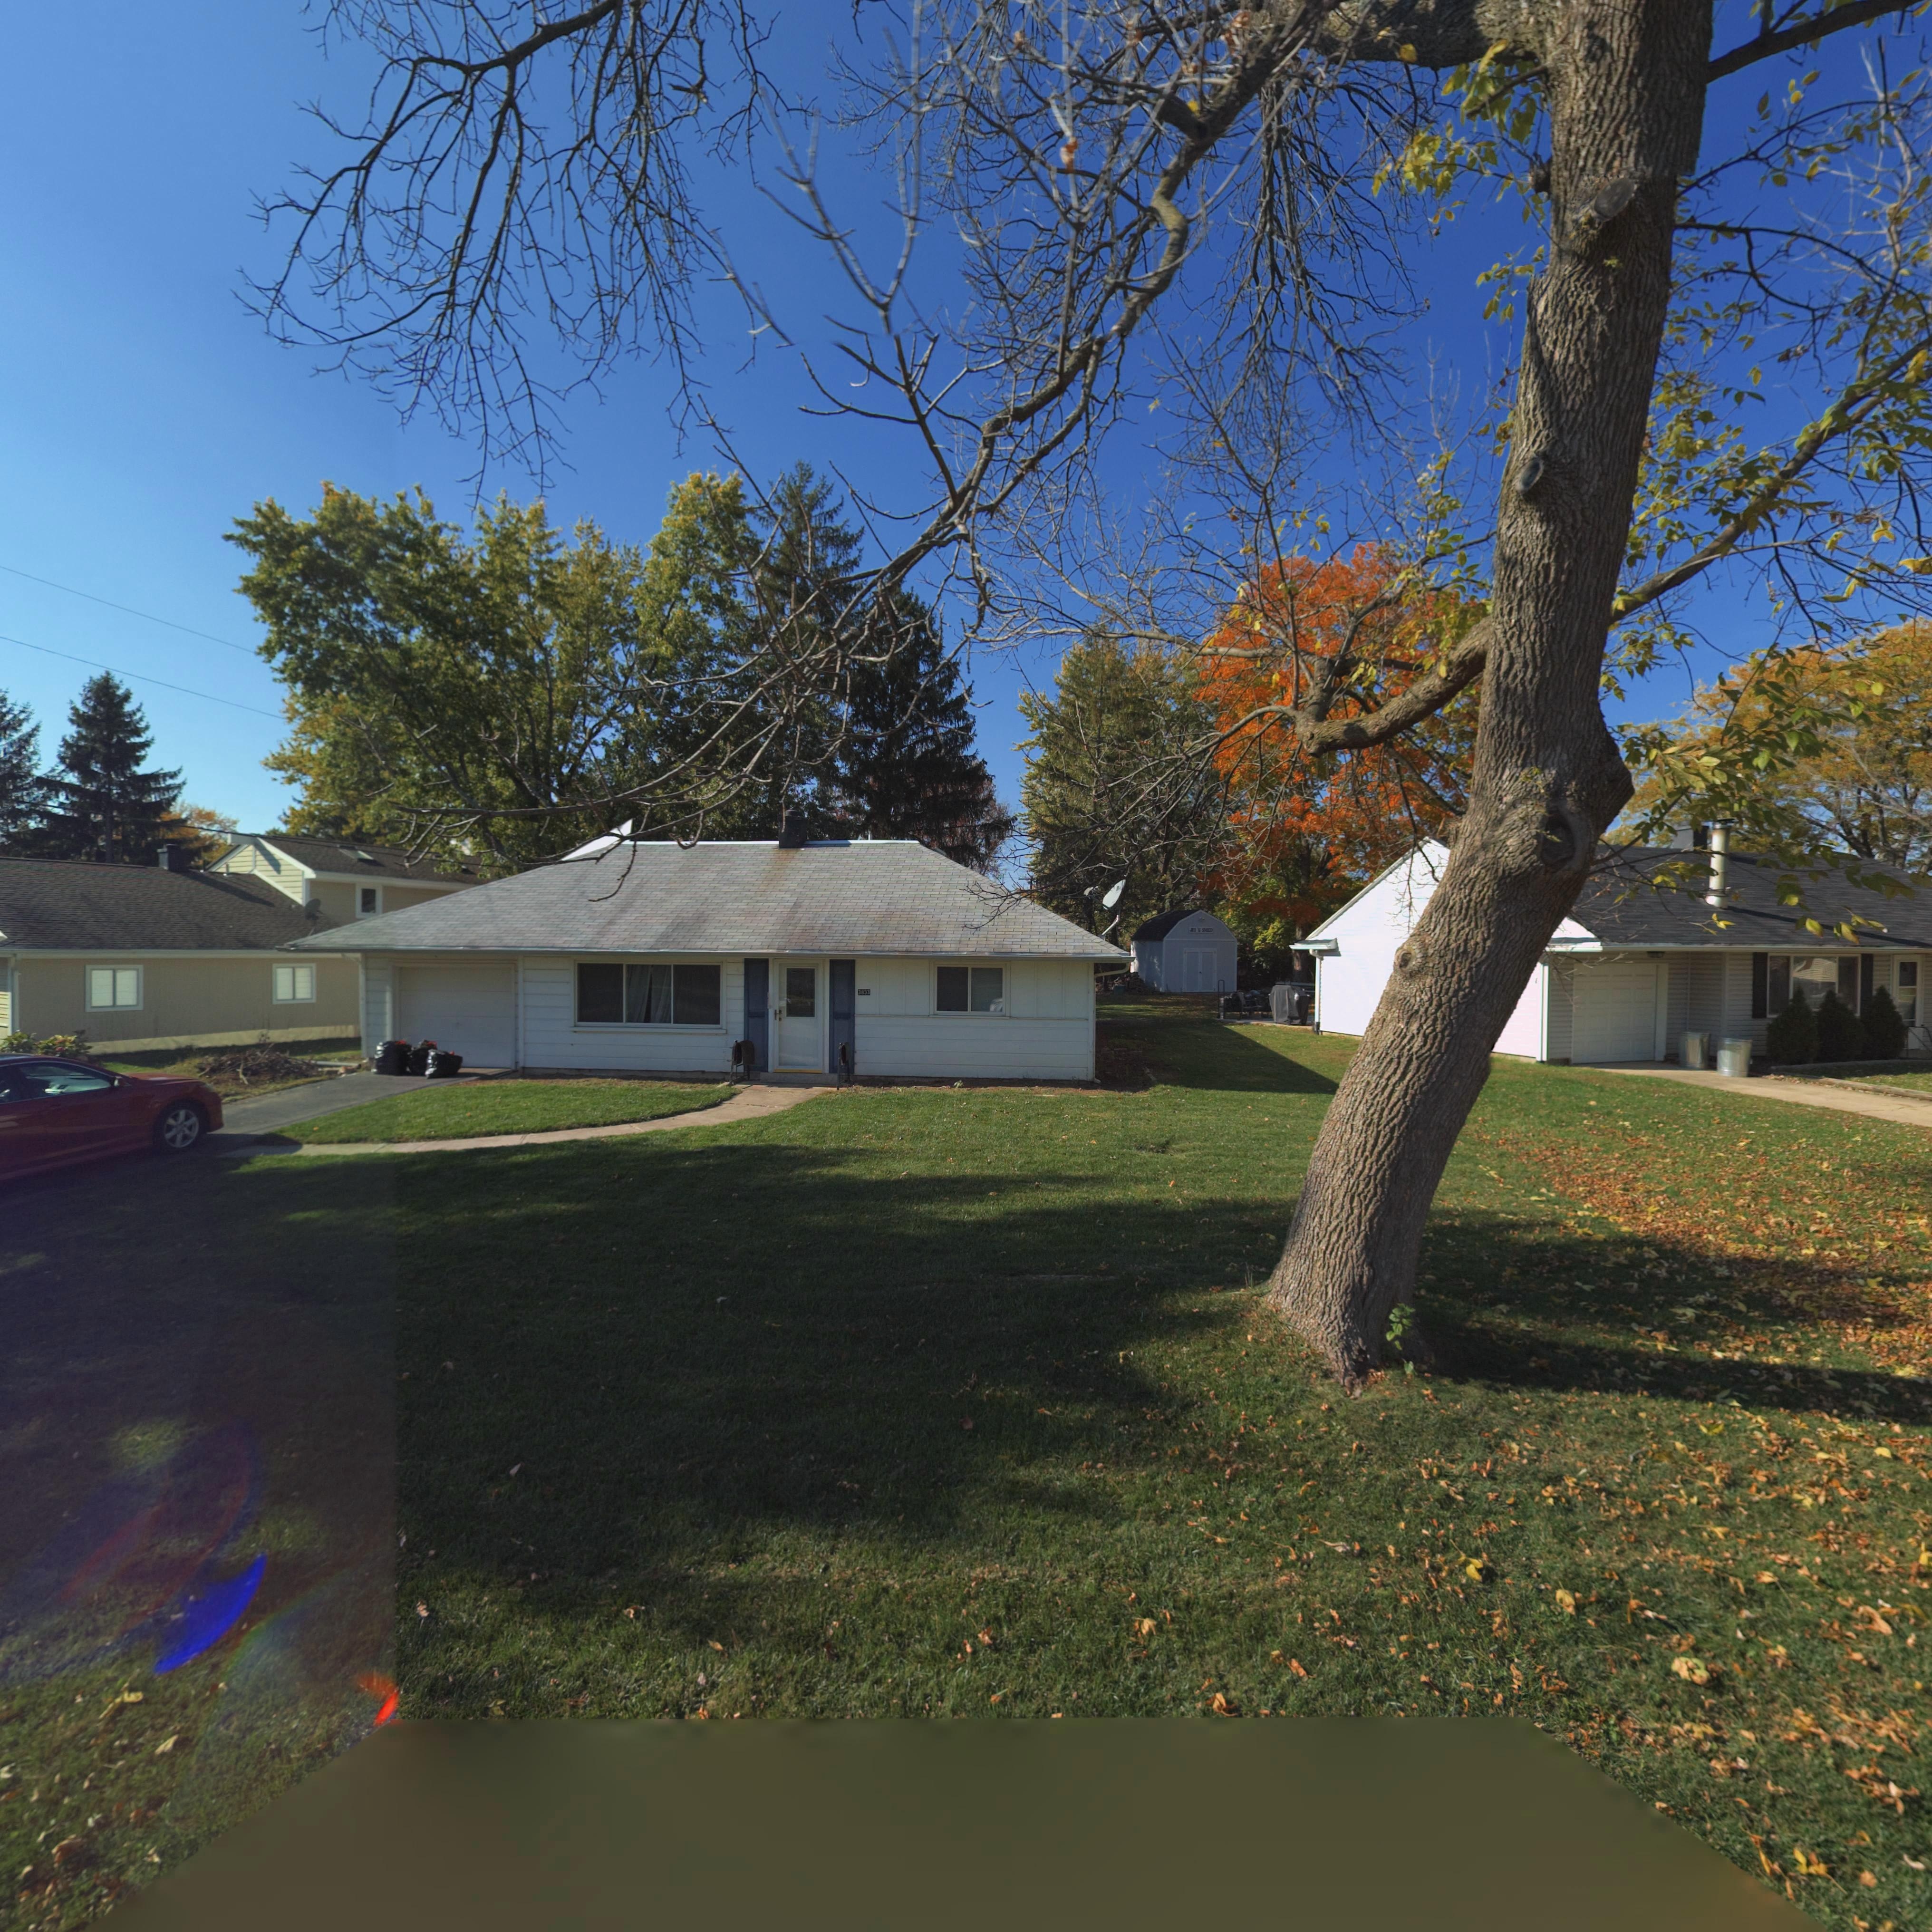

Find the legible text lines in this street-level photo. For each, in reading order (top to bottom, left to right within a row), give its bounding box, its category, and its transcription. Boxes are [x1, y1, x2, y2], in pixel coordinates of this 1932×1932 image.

[858, 989, 870, 995] StreetNumber: 3833